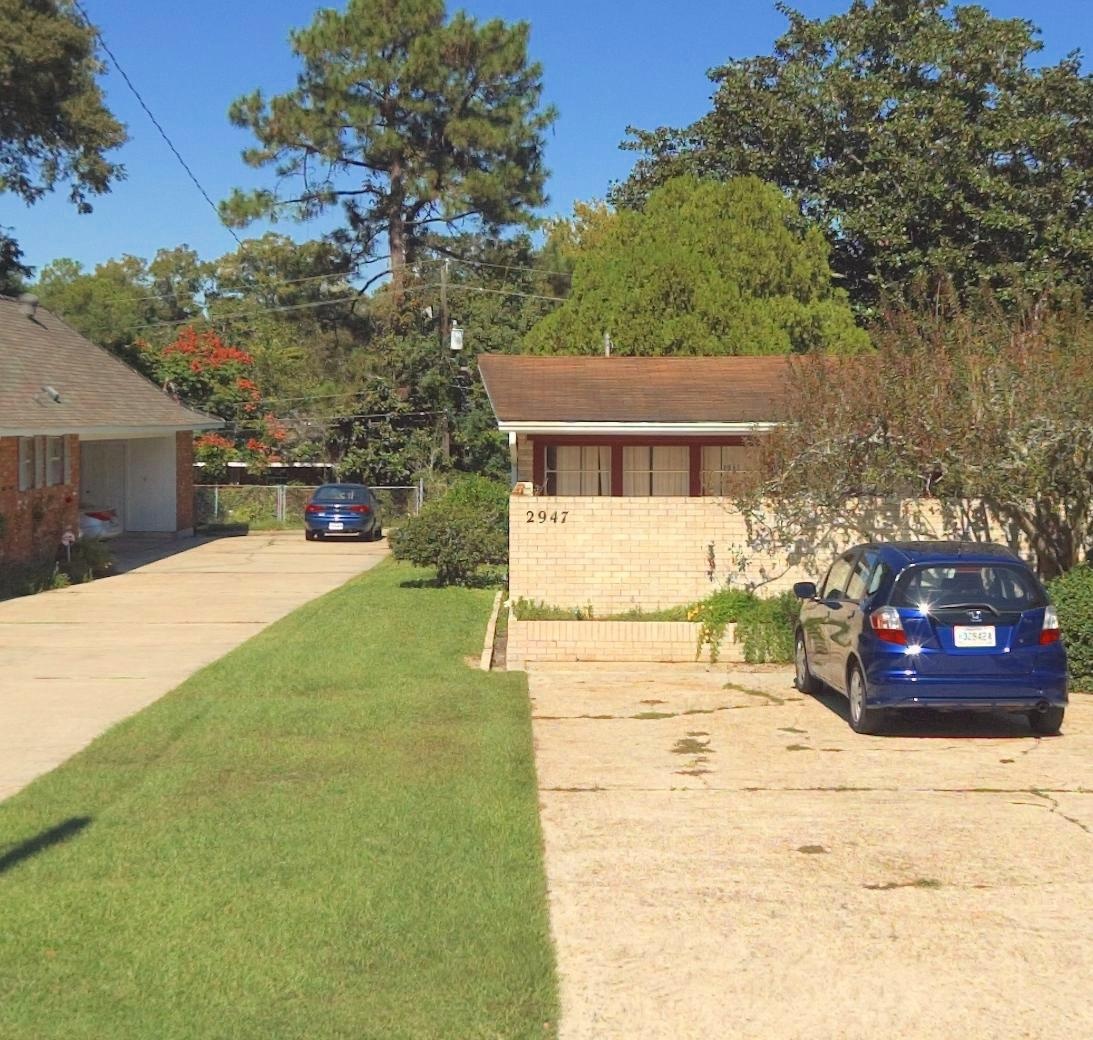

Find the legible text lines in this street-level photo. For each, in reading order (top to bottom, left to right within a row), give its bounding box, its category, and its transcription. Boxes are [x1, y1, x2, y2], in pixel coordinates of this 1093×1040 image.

[525, 509, 571, 525] StreetNumber: 2947